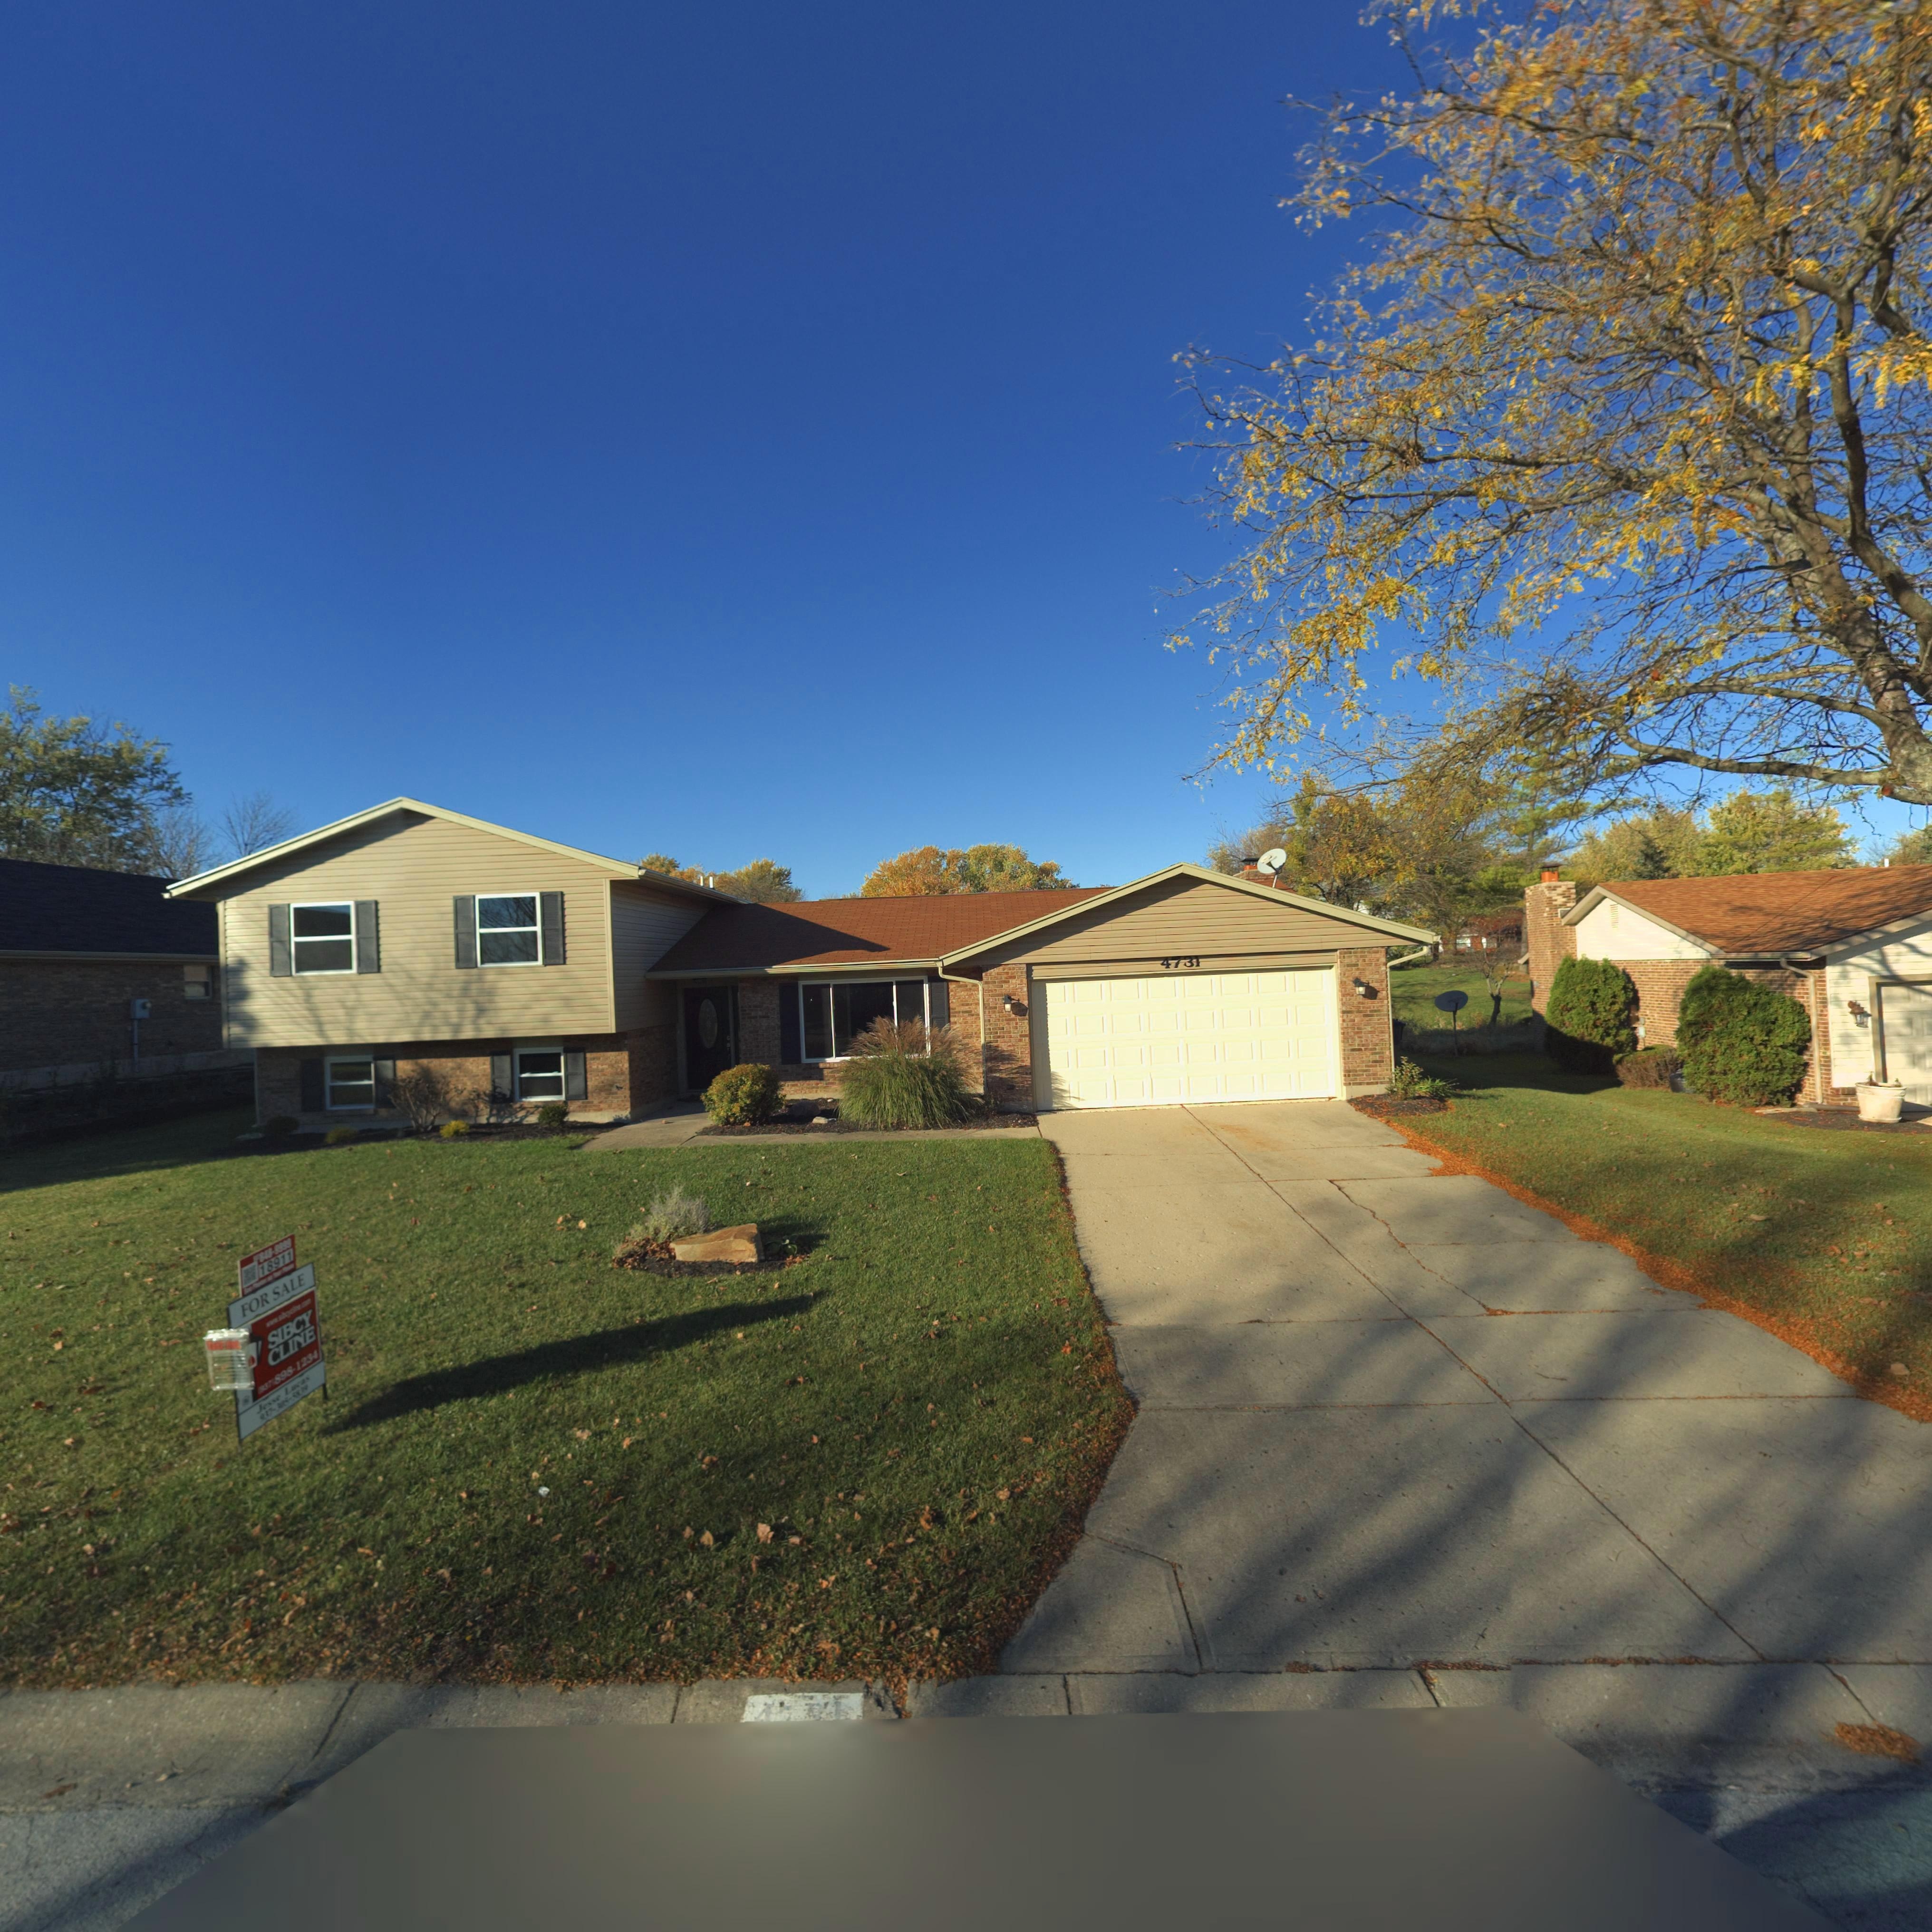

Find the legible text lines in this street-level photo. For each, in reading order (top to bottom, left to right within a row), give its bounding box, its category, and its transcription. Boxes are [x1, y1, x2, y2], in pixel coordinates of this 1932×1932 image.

[1159, 954, 1201, 970] StreetNumber: 4731